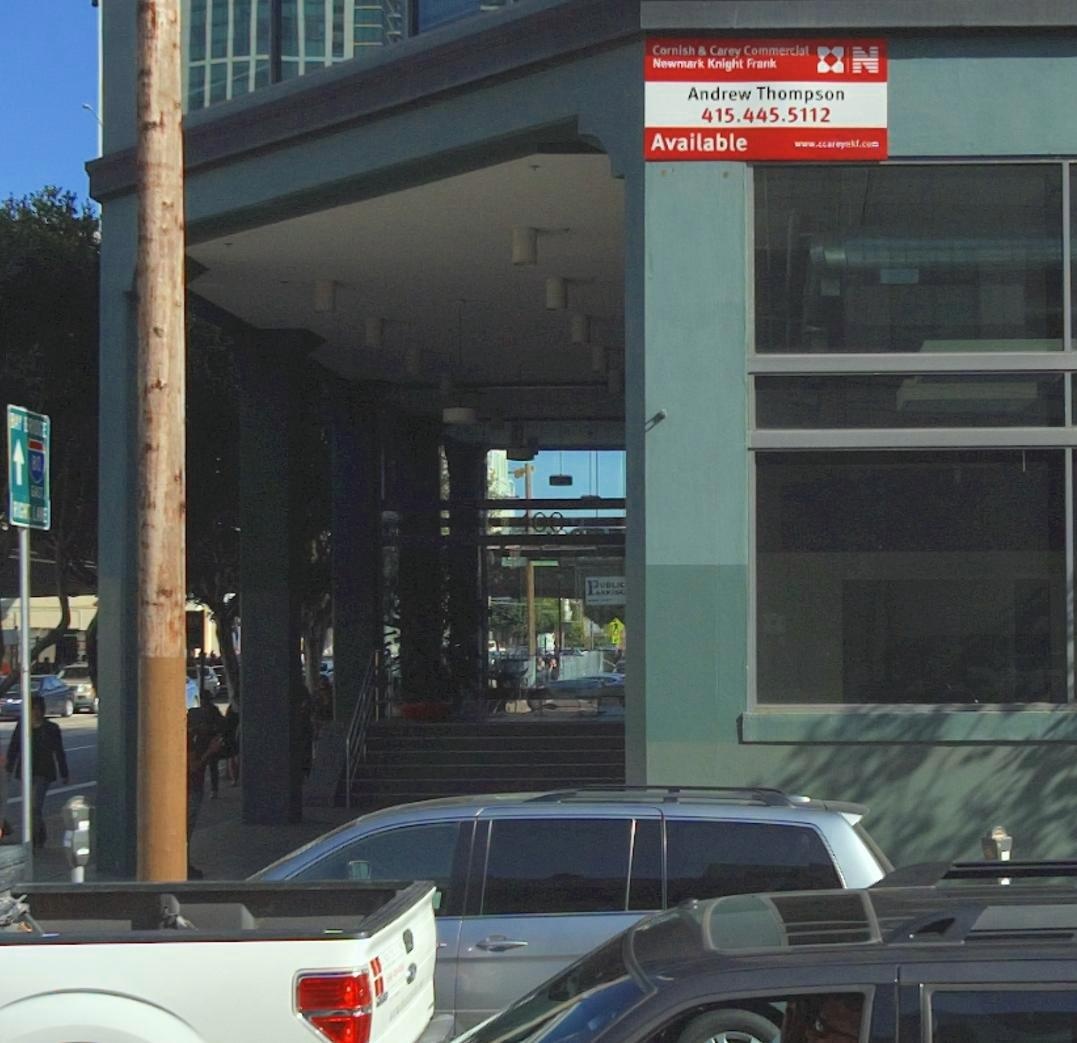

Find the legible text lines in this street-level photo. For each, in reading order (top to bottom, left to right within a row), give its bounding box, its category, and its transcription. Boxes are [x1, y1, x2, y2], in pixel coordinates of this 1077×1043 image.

[652, 57, 778, 74] None: Newmark Knight Frank
[650, 43, 810, 60] None: Cornish & Carey Commercial
[851, 44, 880, 75] None: N
[685, 85, 846, 105] None: Andrew Thompson
[699, 105, 832, 125] None: 415.445.5112
[648, 131, 750, 154] None: Available
[794, 140, 816, 149] None: www
[31, 453, 42, 473] None: 80
[11, 499, 49, 525] None: RIGHT LANE
[517, 511, 566, 534] StreetNumber: 400
[587, 579, 626, 596] None: PUBLIC